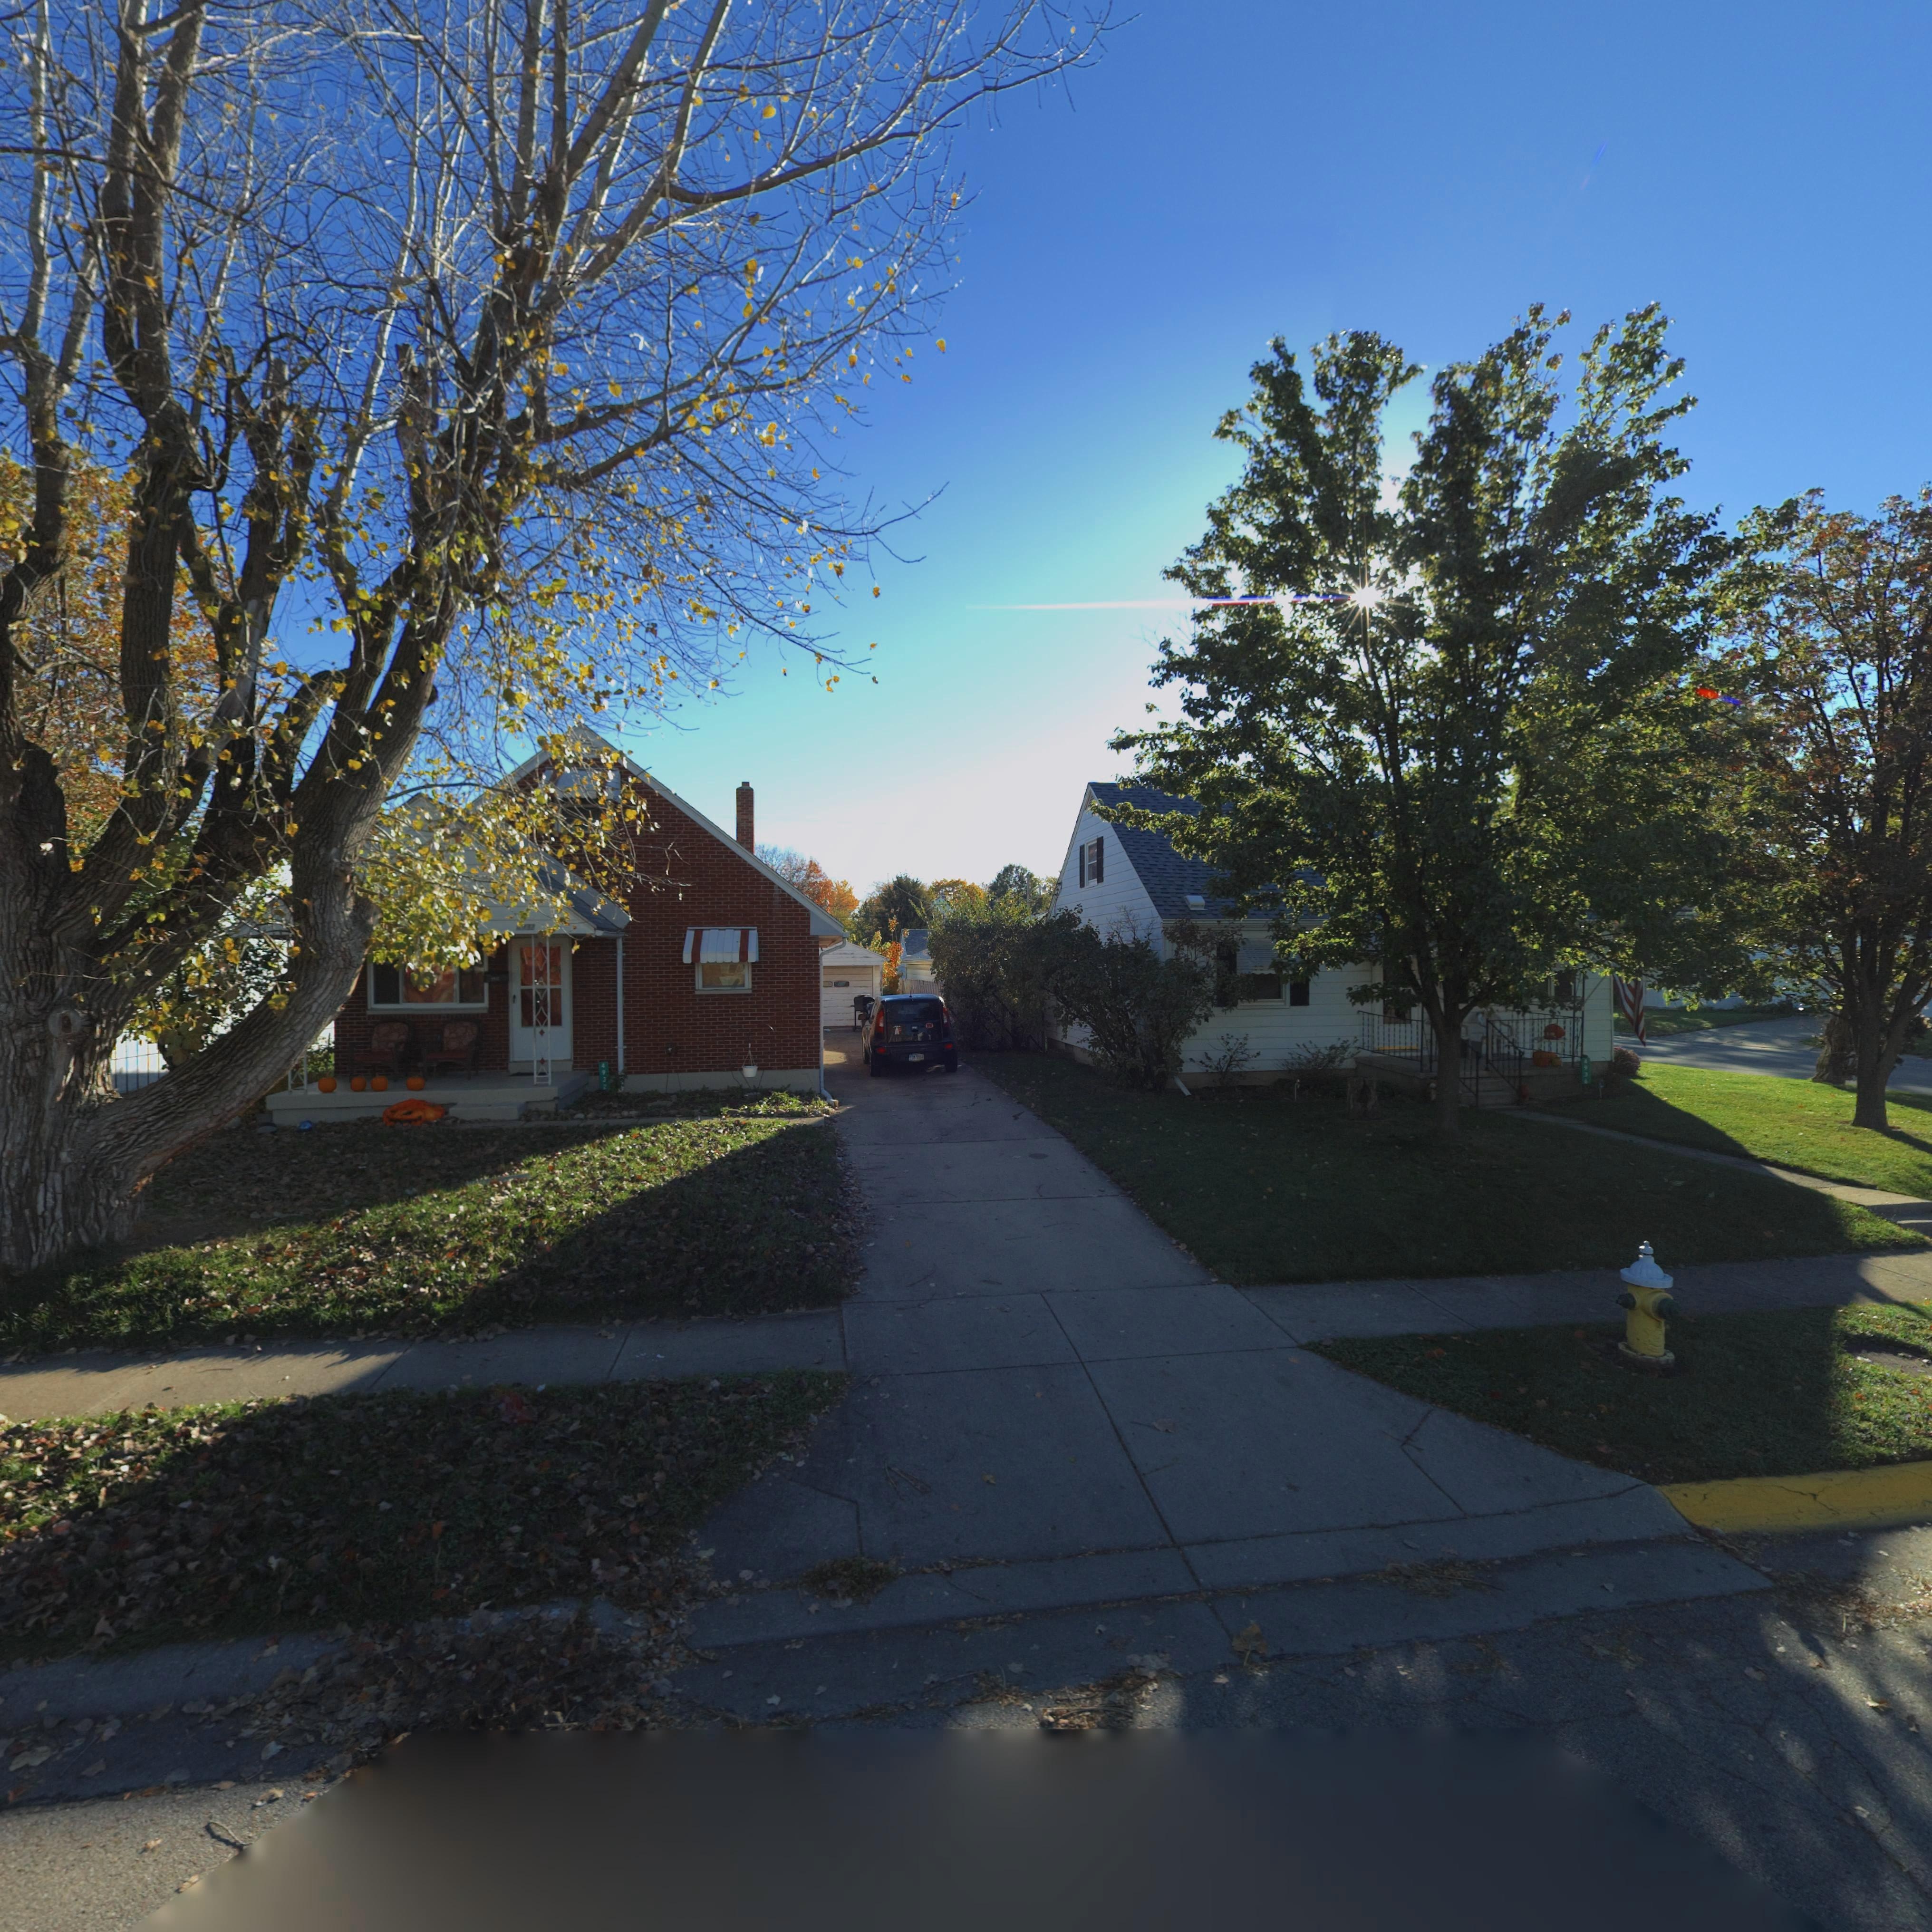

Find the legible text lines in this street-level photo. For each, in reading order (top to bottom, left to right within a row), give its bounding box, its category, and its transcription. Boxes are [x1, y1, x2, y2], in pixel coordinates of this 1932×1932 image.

[599, 1061, 609, 1091] StreetNumber: 4932